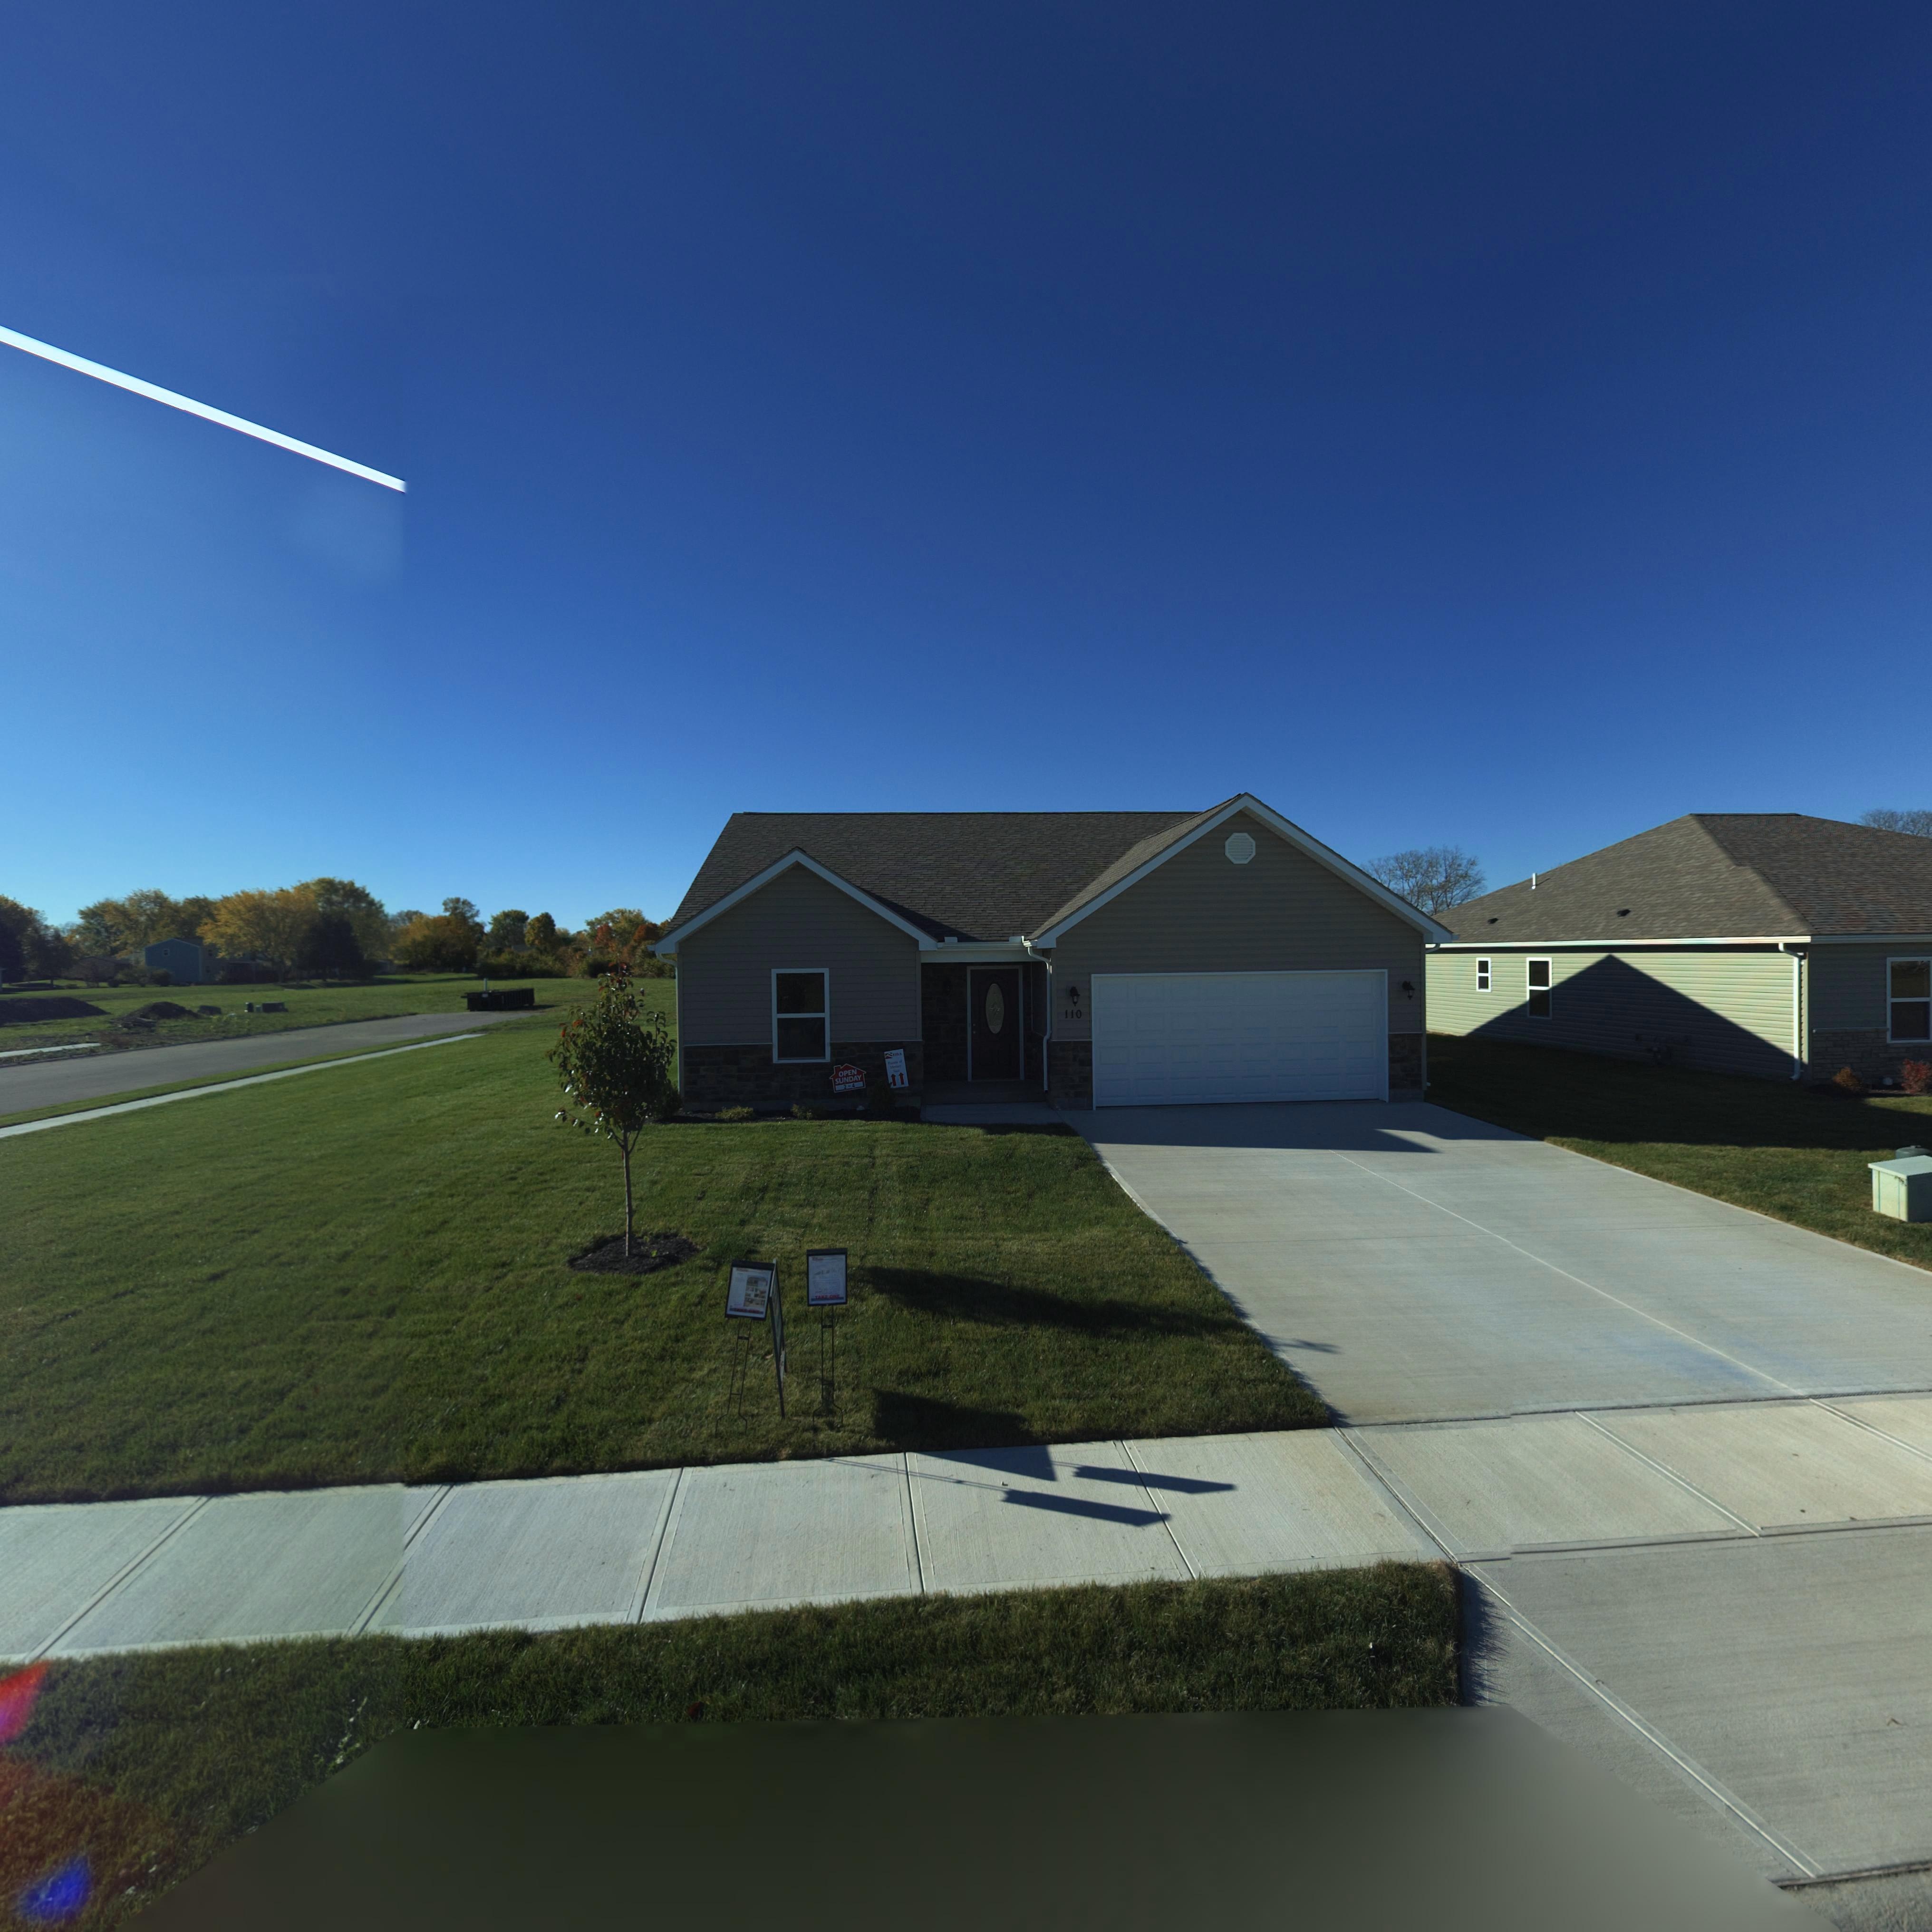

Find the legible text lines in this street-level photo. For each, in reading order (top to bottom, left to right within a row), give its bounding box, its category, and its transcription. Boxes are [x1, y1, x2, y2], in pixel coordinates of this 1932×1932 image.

[1064, 1009, 1082, 1019] StreetNumber: 110